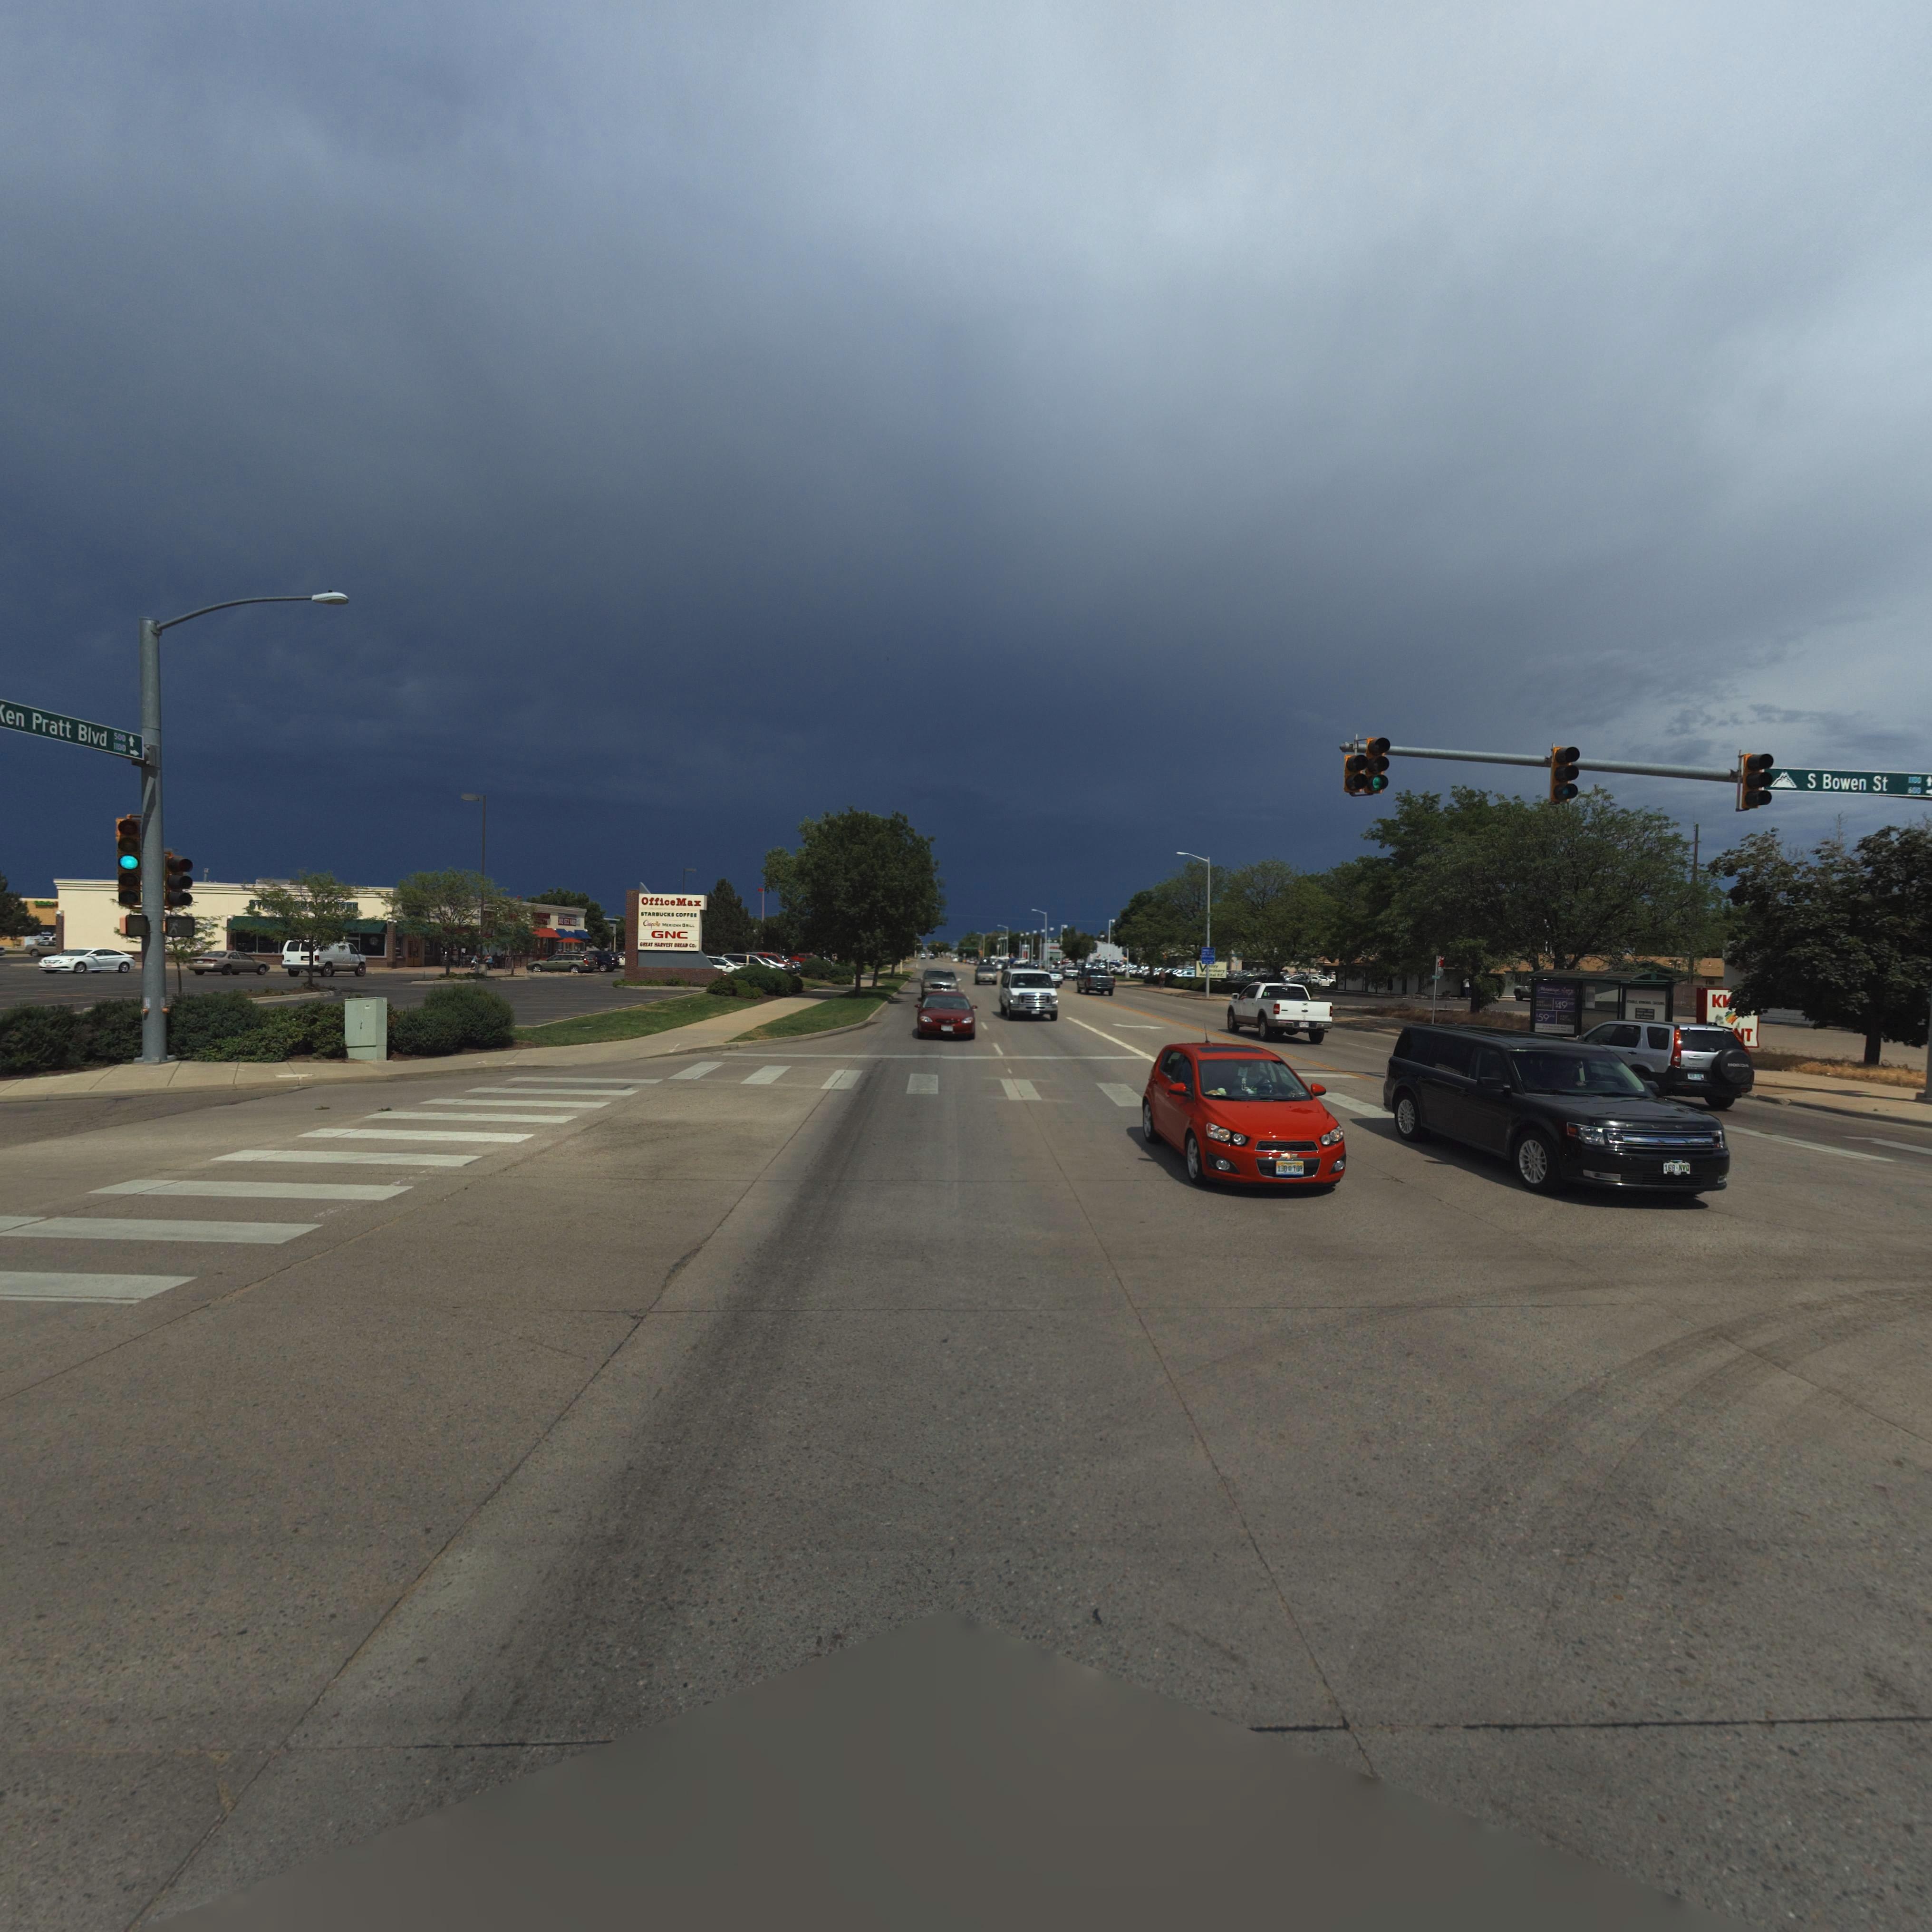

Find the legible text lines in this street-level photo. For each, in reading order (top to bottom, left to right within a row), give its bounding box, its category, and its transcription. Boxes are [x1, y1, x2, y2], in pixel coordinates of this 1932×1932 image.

[5, 709, 107, 747] StreetName: en Pratt Blvd
[114, 731, 126, 742] StreetNumberRange: 500
[113, 742, 139, 756] StreetNumberRange: 1100 ->
[1806, 772, 1888, 792] StreetName: S Bowen St
[1907, 776, 1922, 784] StreetNumberRange: 1*00
[1907, 786, 1921, 794] StreetNumberRange: 600
[249, 899, 358, 910] BusinessName: ST*****KS ***FEE
[641, 897, 701, 906] BusinessName: Office Max
[640, 911, 697, 917] BusinessName: STARBUCKS COFFEE
[642, 919, 695, 929] BusinessName: Chipo*** ME***AN ***LL
[651, 930, 688, 939] BusinessName: GNC
[639, 941, 696, 947] BusinessName: GREAT HARVEST BREAD Co.
[1198, 962, 1207, 973] BusinessName: V
[1199, 973, 1224, 976] BusinessName: Ho**ital P.C.
[1208, 964, 1218, 968] BusinessName: ****y
[1205, 969, 1225, 973] BusinessName: *******ry
[1712, 994, 1722, 1007] BusinessName: K
[1744, 1028, 1752, 1042] BusinessName: T